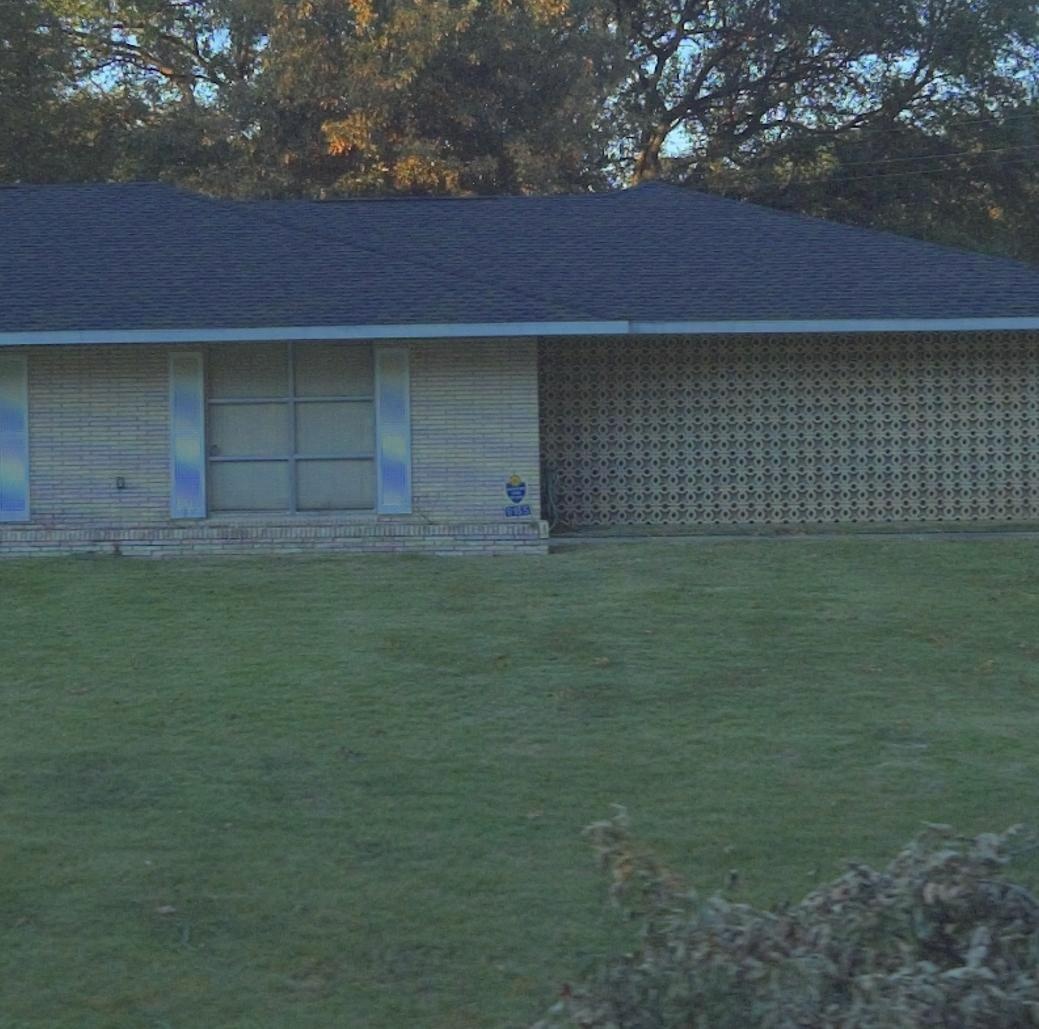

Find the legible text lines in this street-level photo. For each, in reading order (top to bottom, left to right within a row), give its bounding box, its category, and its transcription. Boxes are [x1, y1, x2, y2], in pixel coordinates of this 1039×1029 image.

[505, 504, 530, 517] StreetNumber: 9155